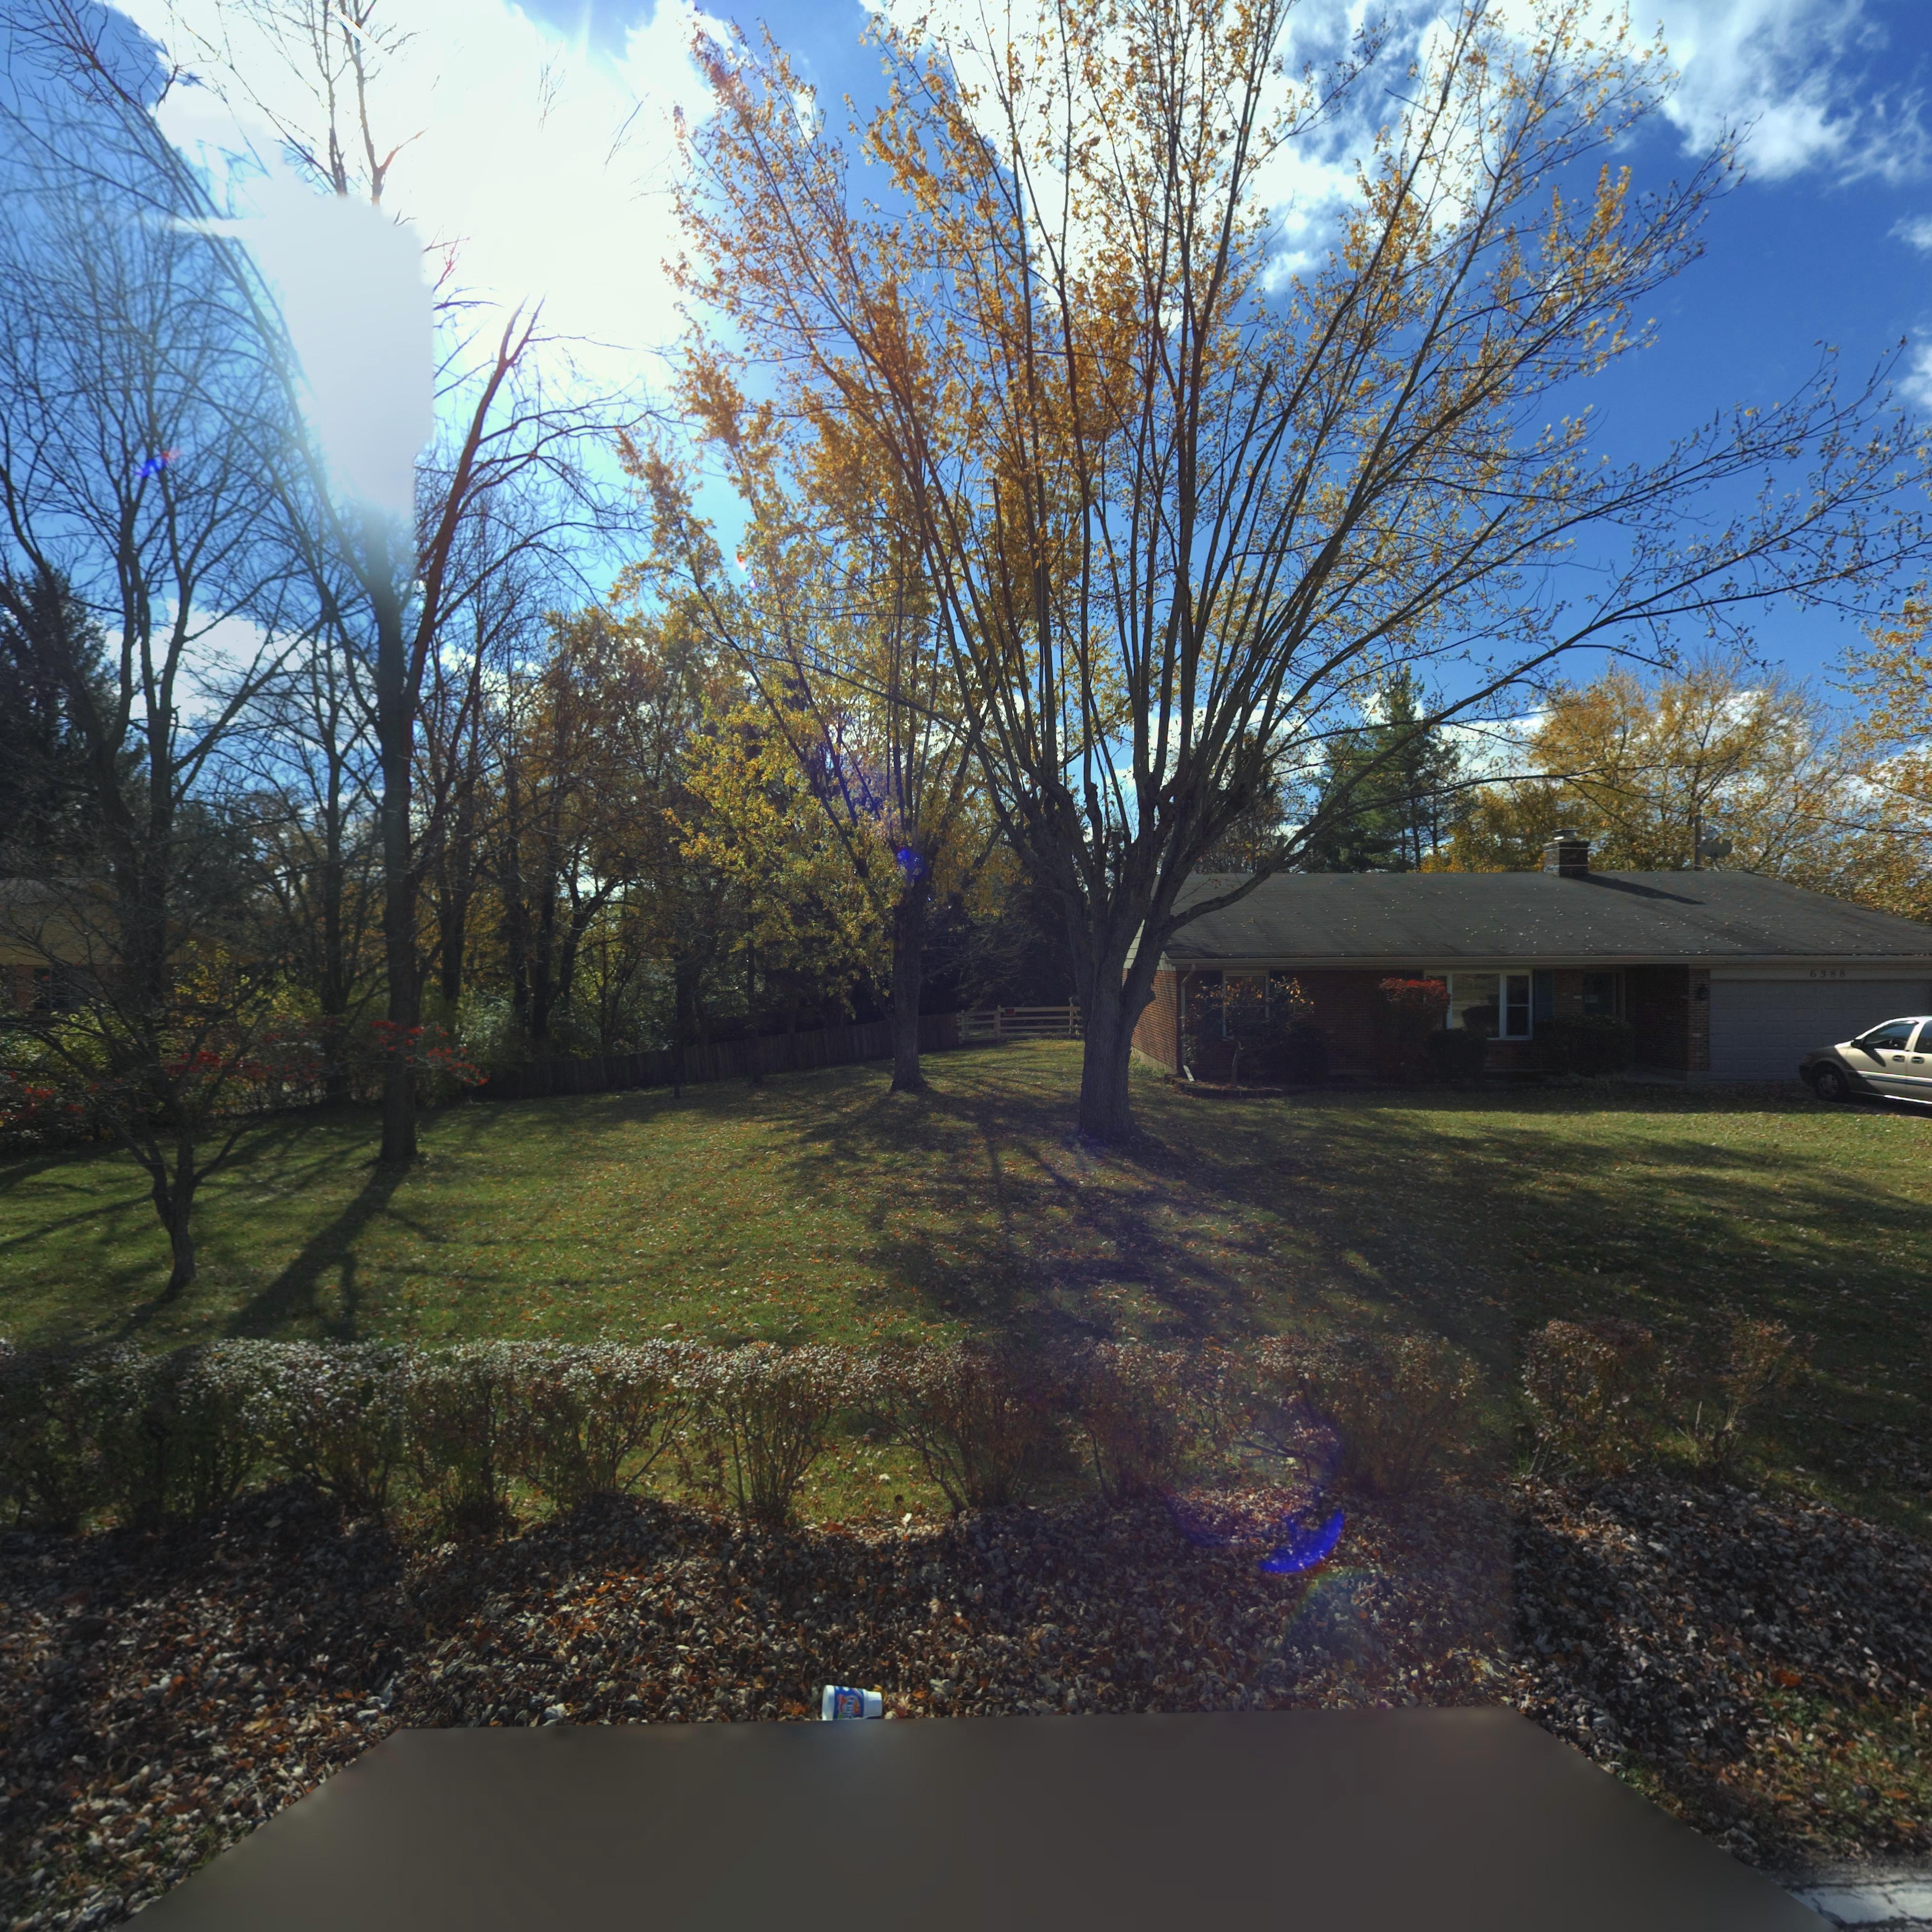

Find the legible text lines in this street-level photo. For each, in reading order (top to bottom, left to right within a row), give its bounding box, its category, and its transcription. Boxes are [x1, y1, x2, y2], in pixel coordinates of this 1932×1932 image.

[1809, 969, 1846, 978] StreetNumber: 6388